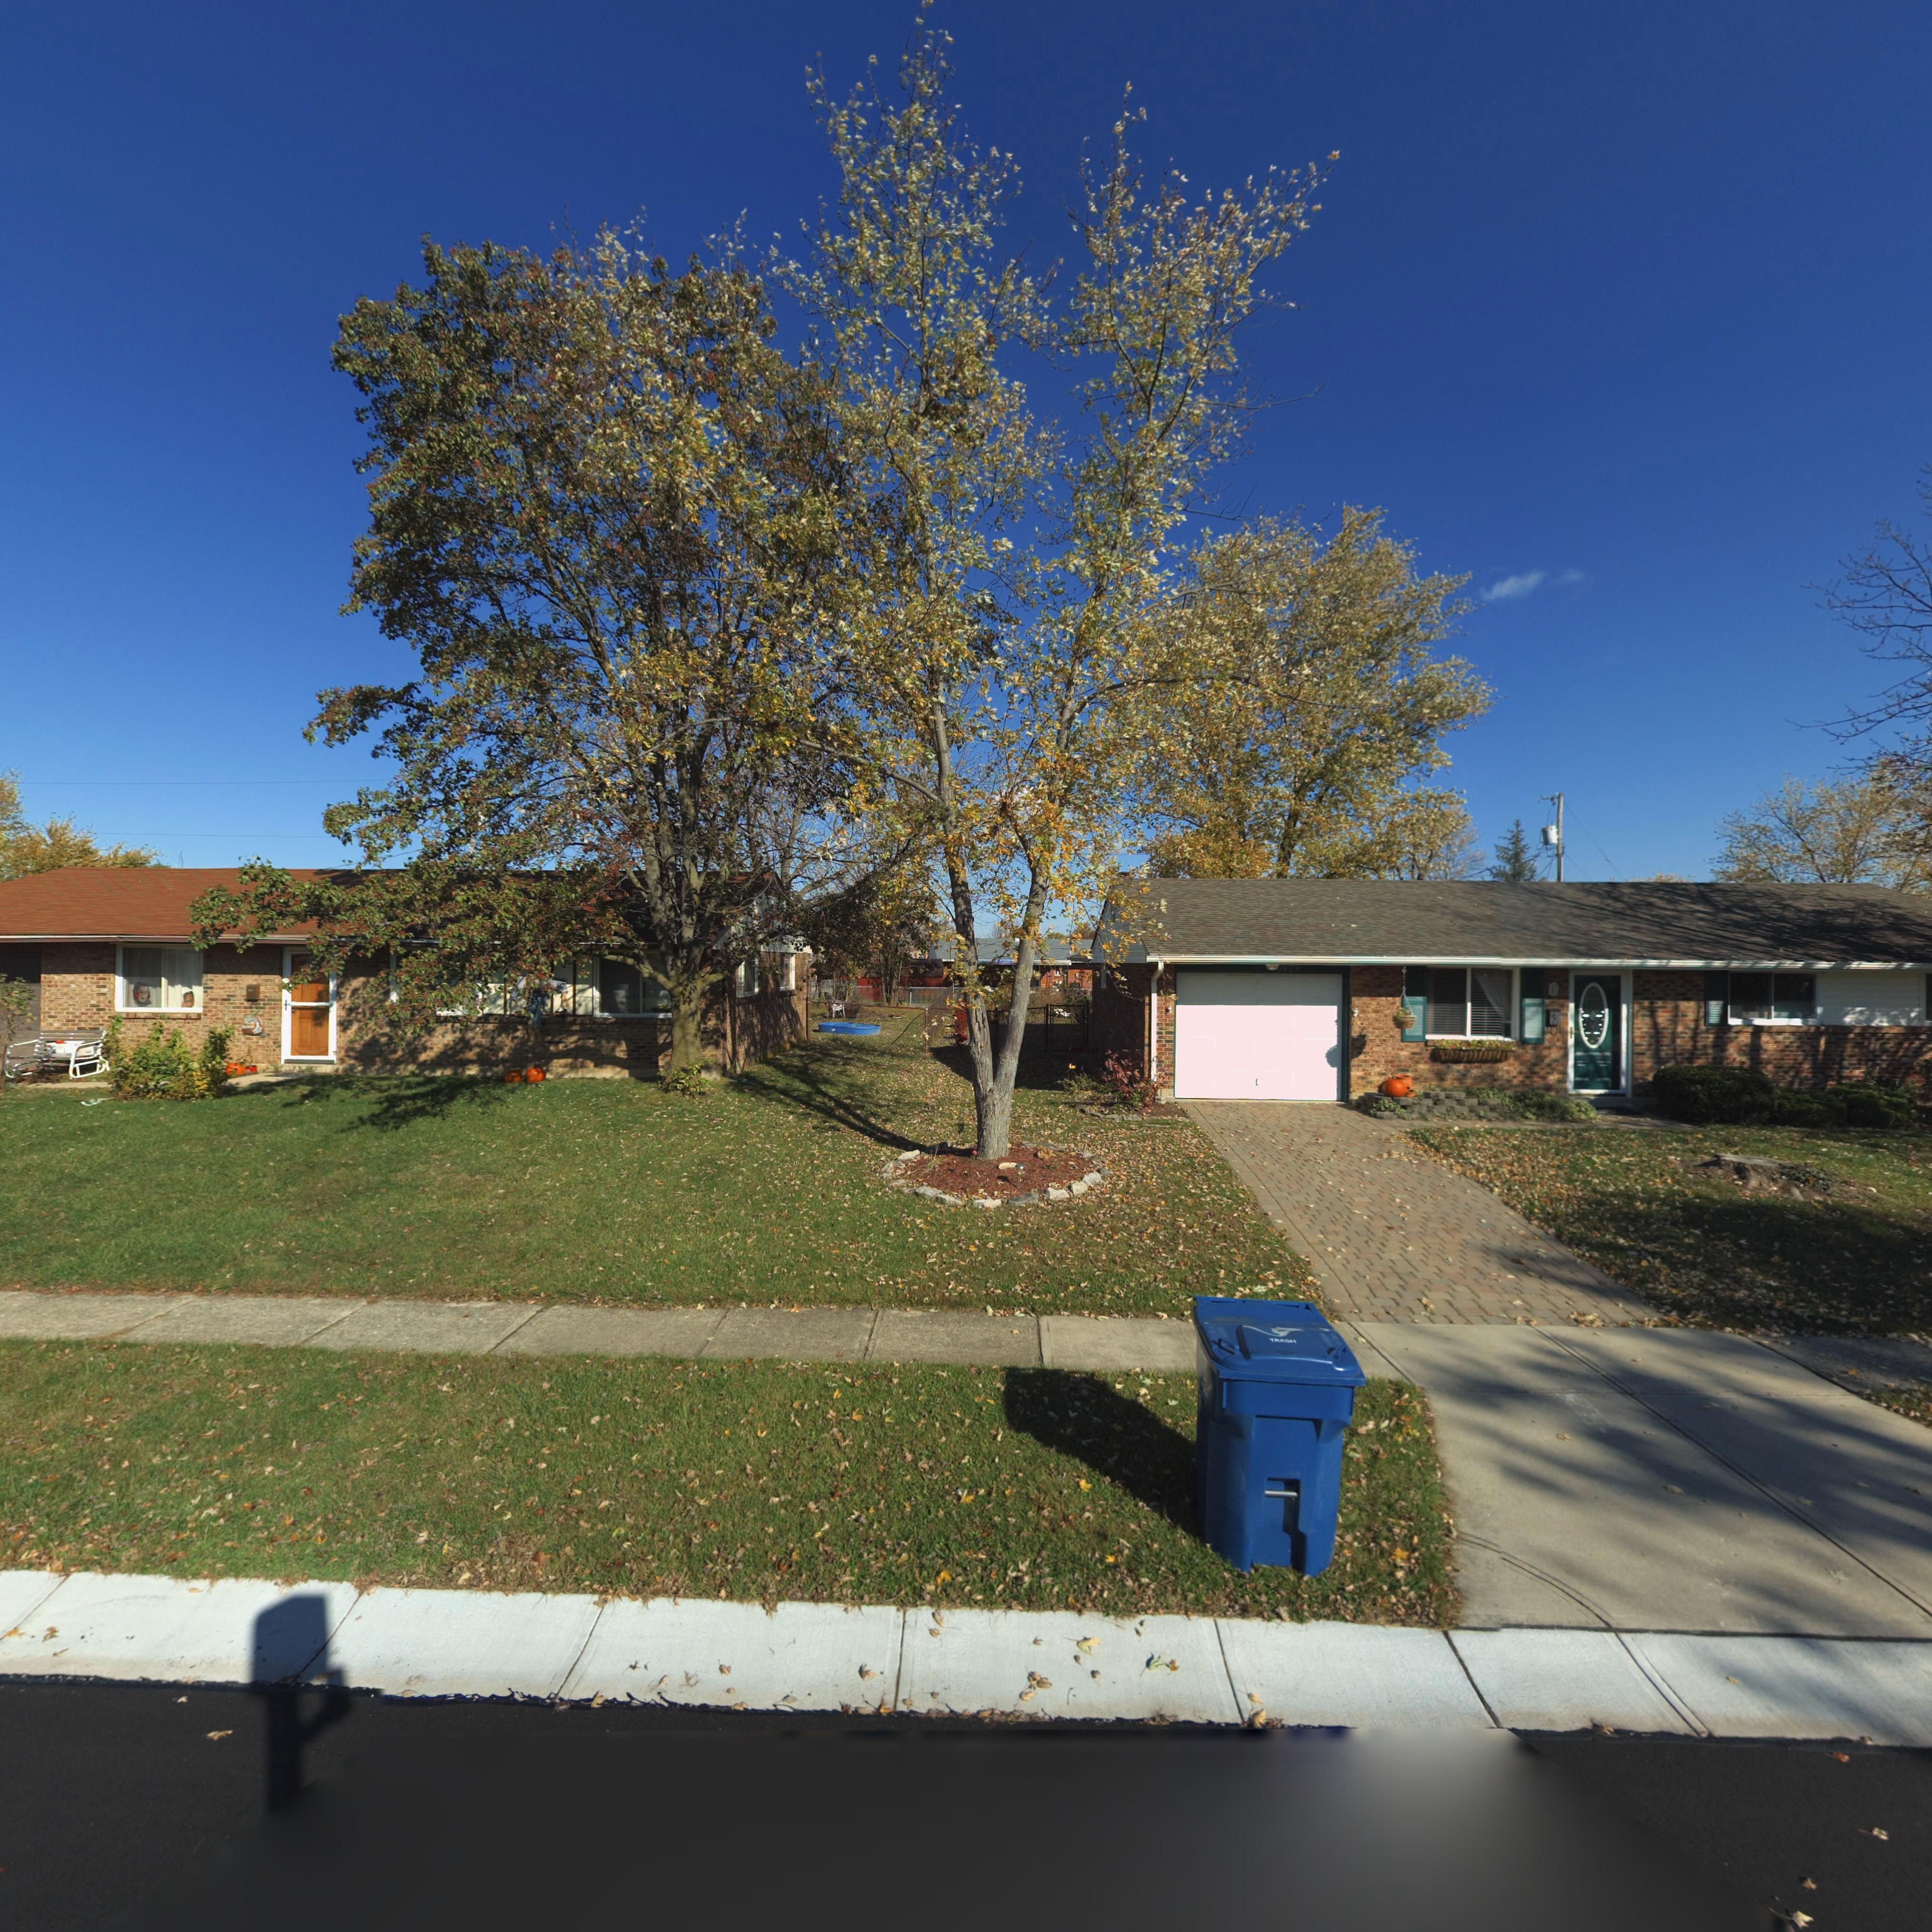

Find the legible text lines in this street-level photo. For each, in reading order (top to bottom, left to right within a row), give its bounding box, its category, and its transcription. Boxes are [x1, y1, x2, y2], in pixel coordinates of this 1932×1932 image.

[1276, 965, 1301, 973] StreetNumber: 6979